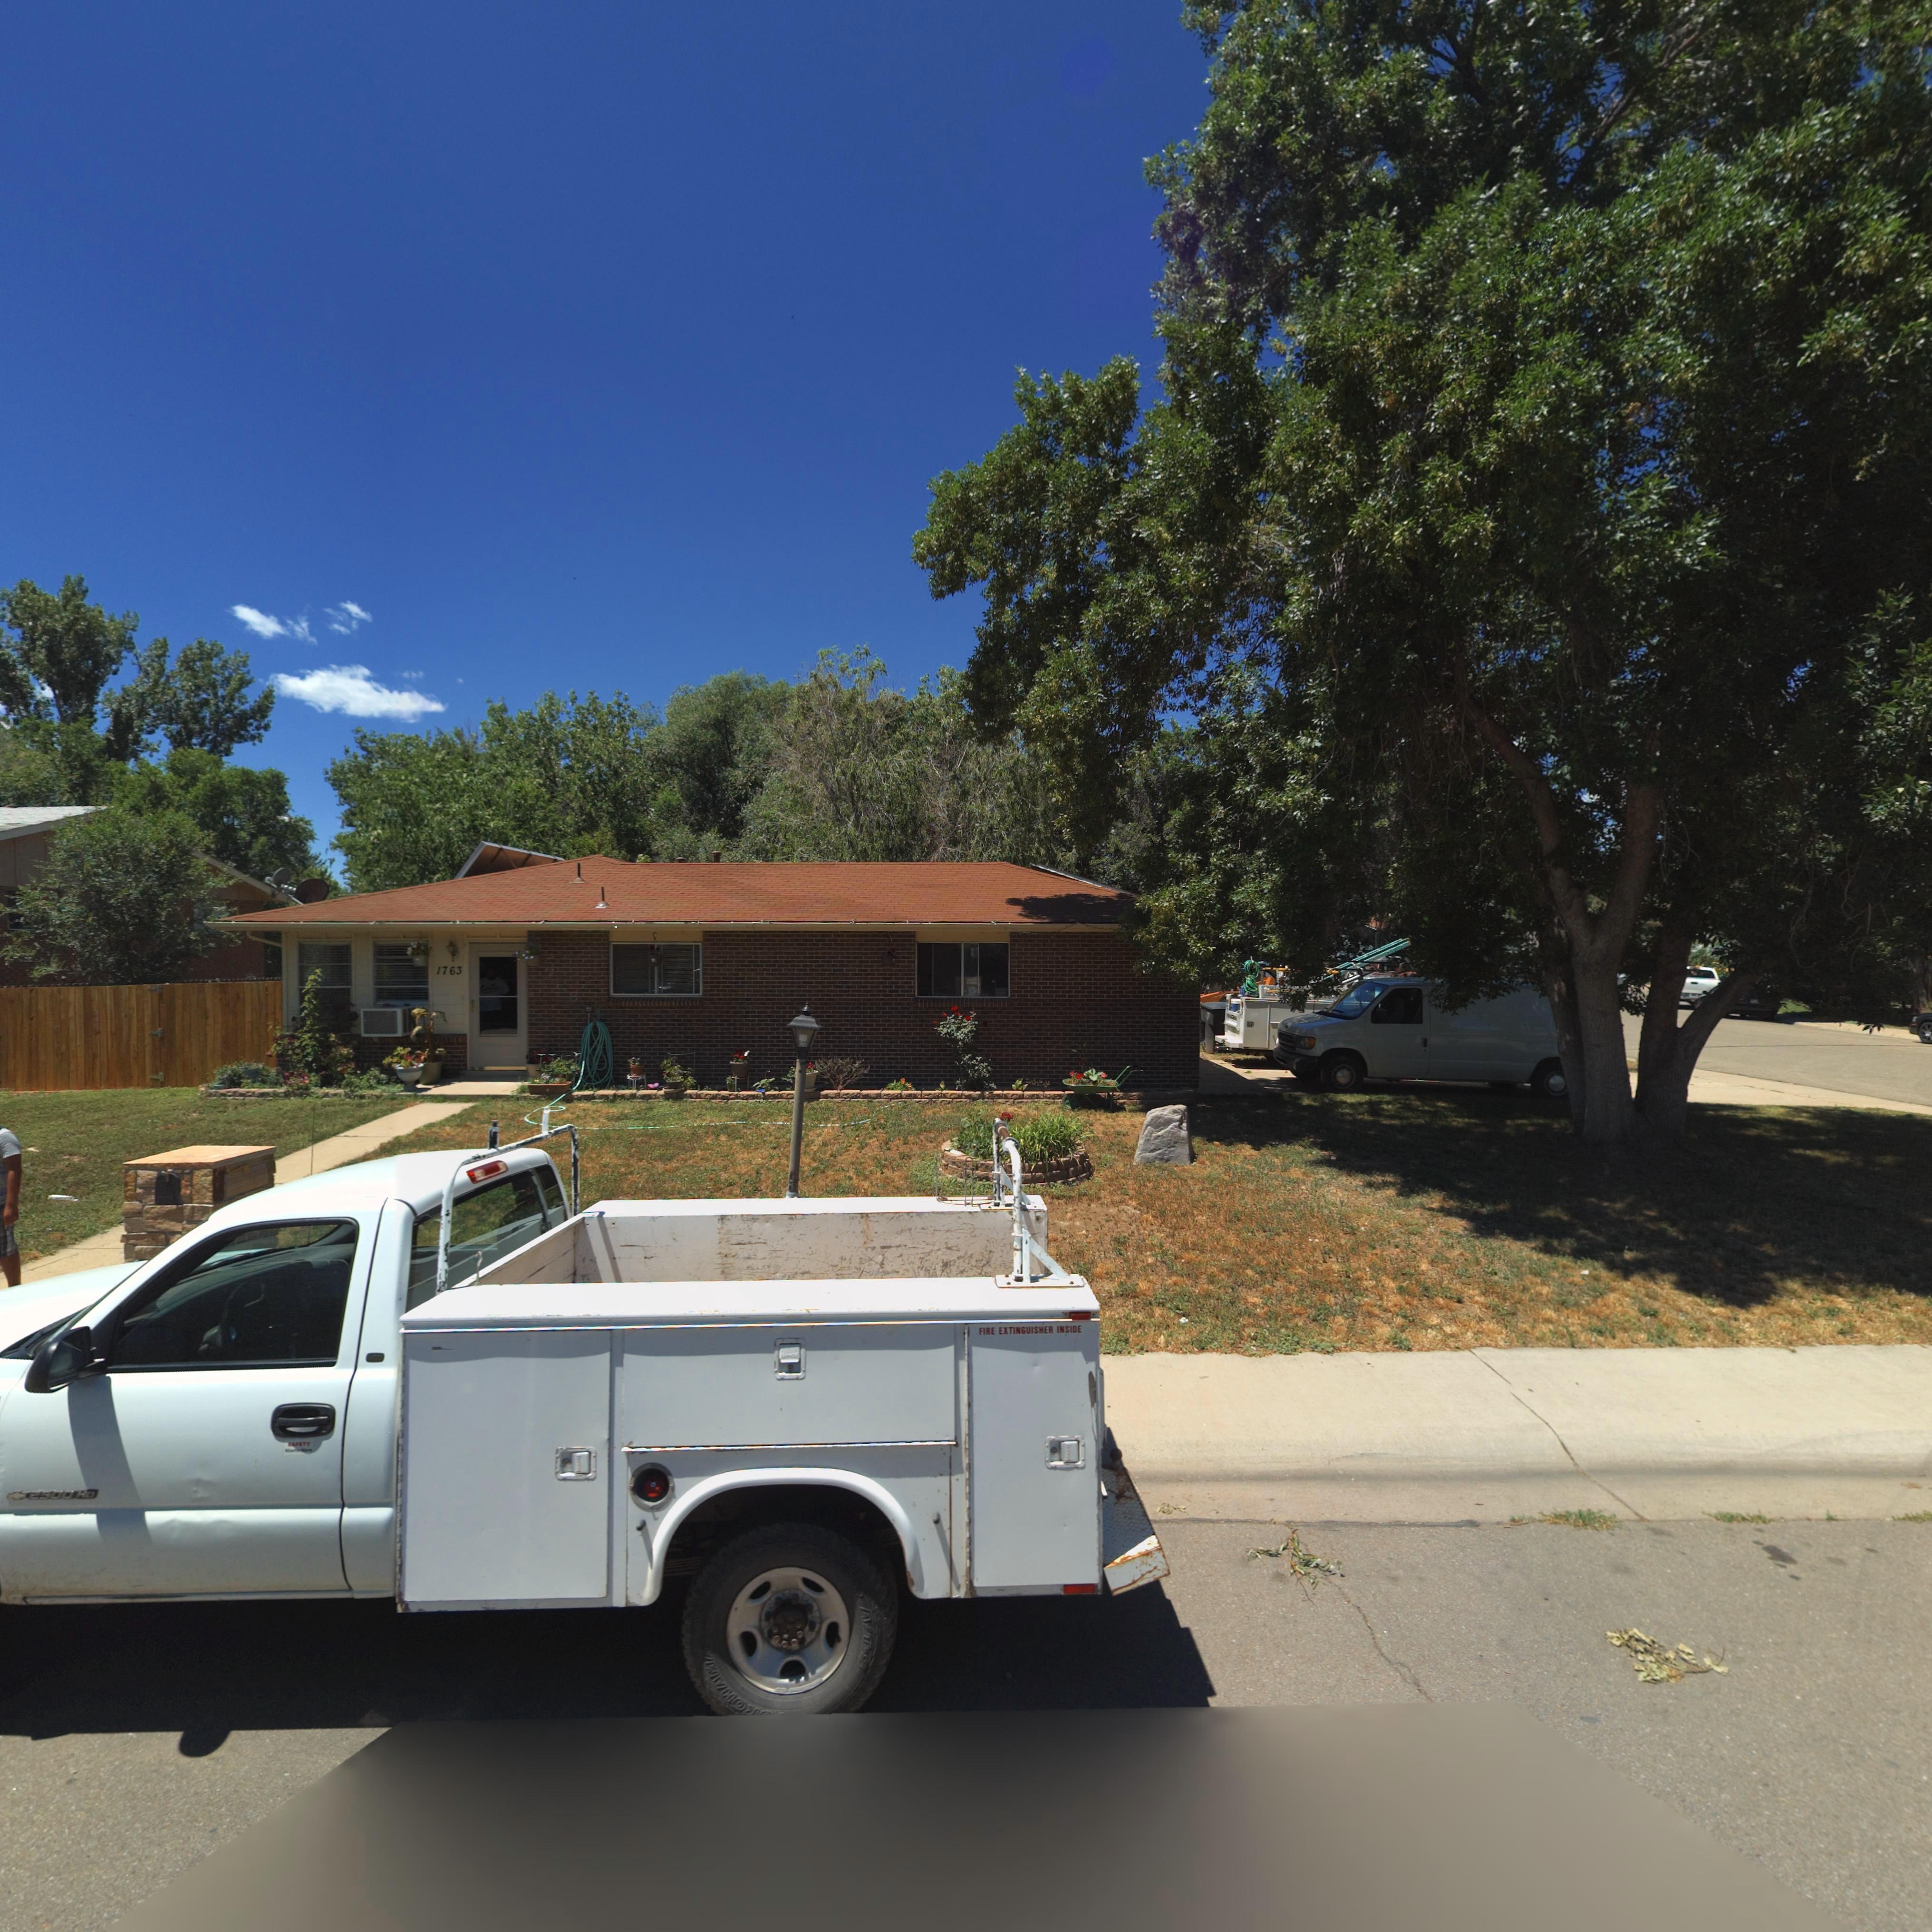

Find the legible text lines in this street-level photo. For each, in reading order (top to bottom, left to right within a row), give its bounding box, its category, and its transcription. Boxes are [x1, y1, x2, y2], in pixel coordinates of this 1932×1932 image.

[436, 966, 462, 975] StreetNumber: 1763